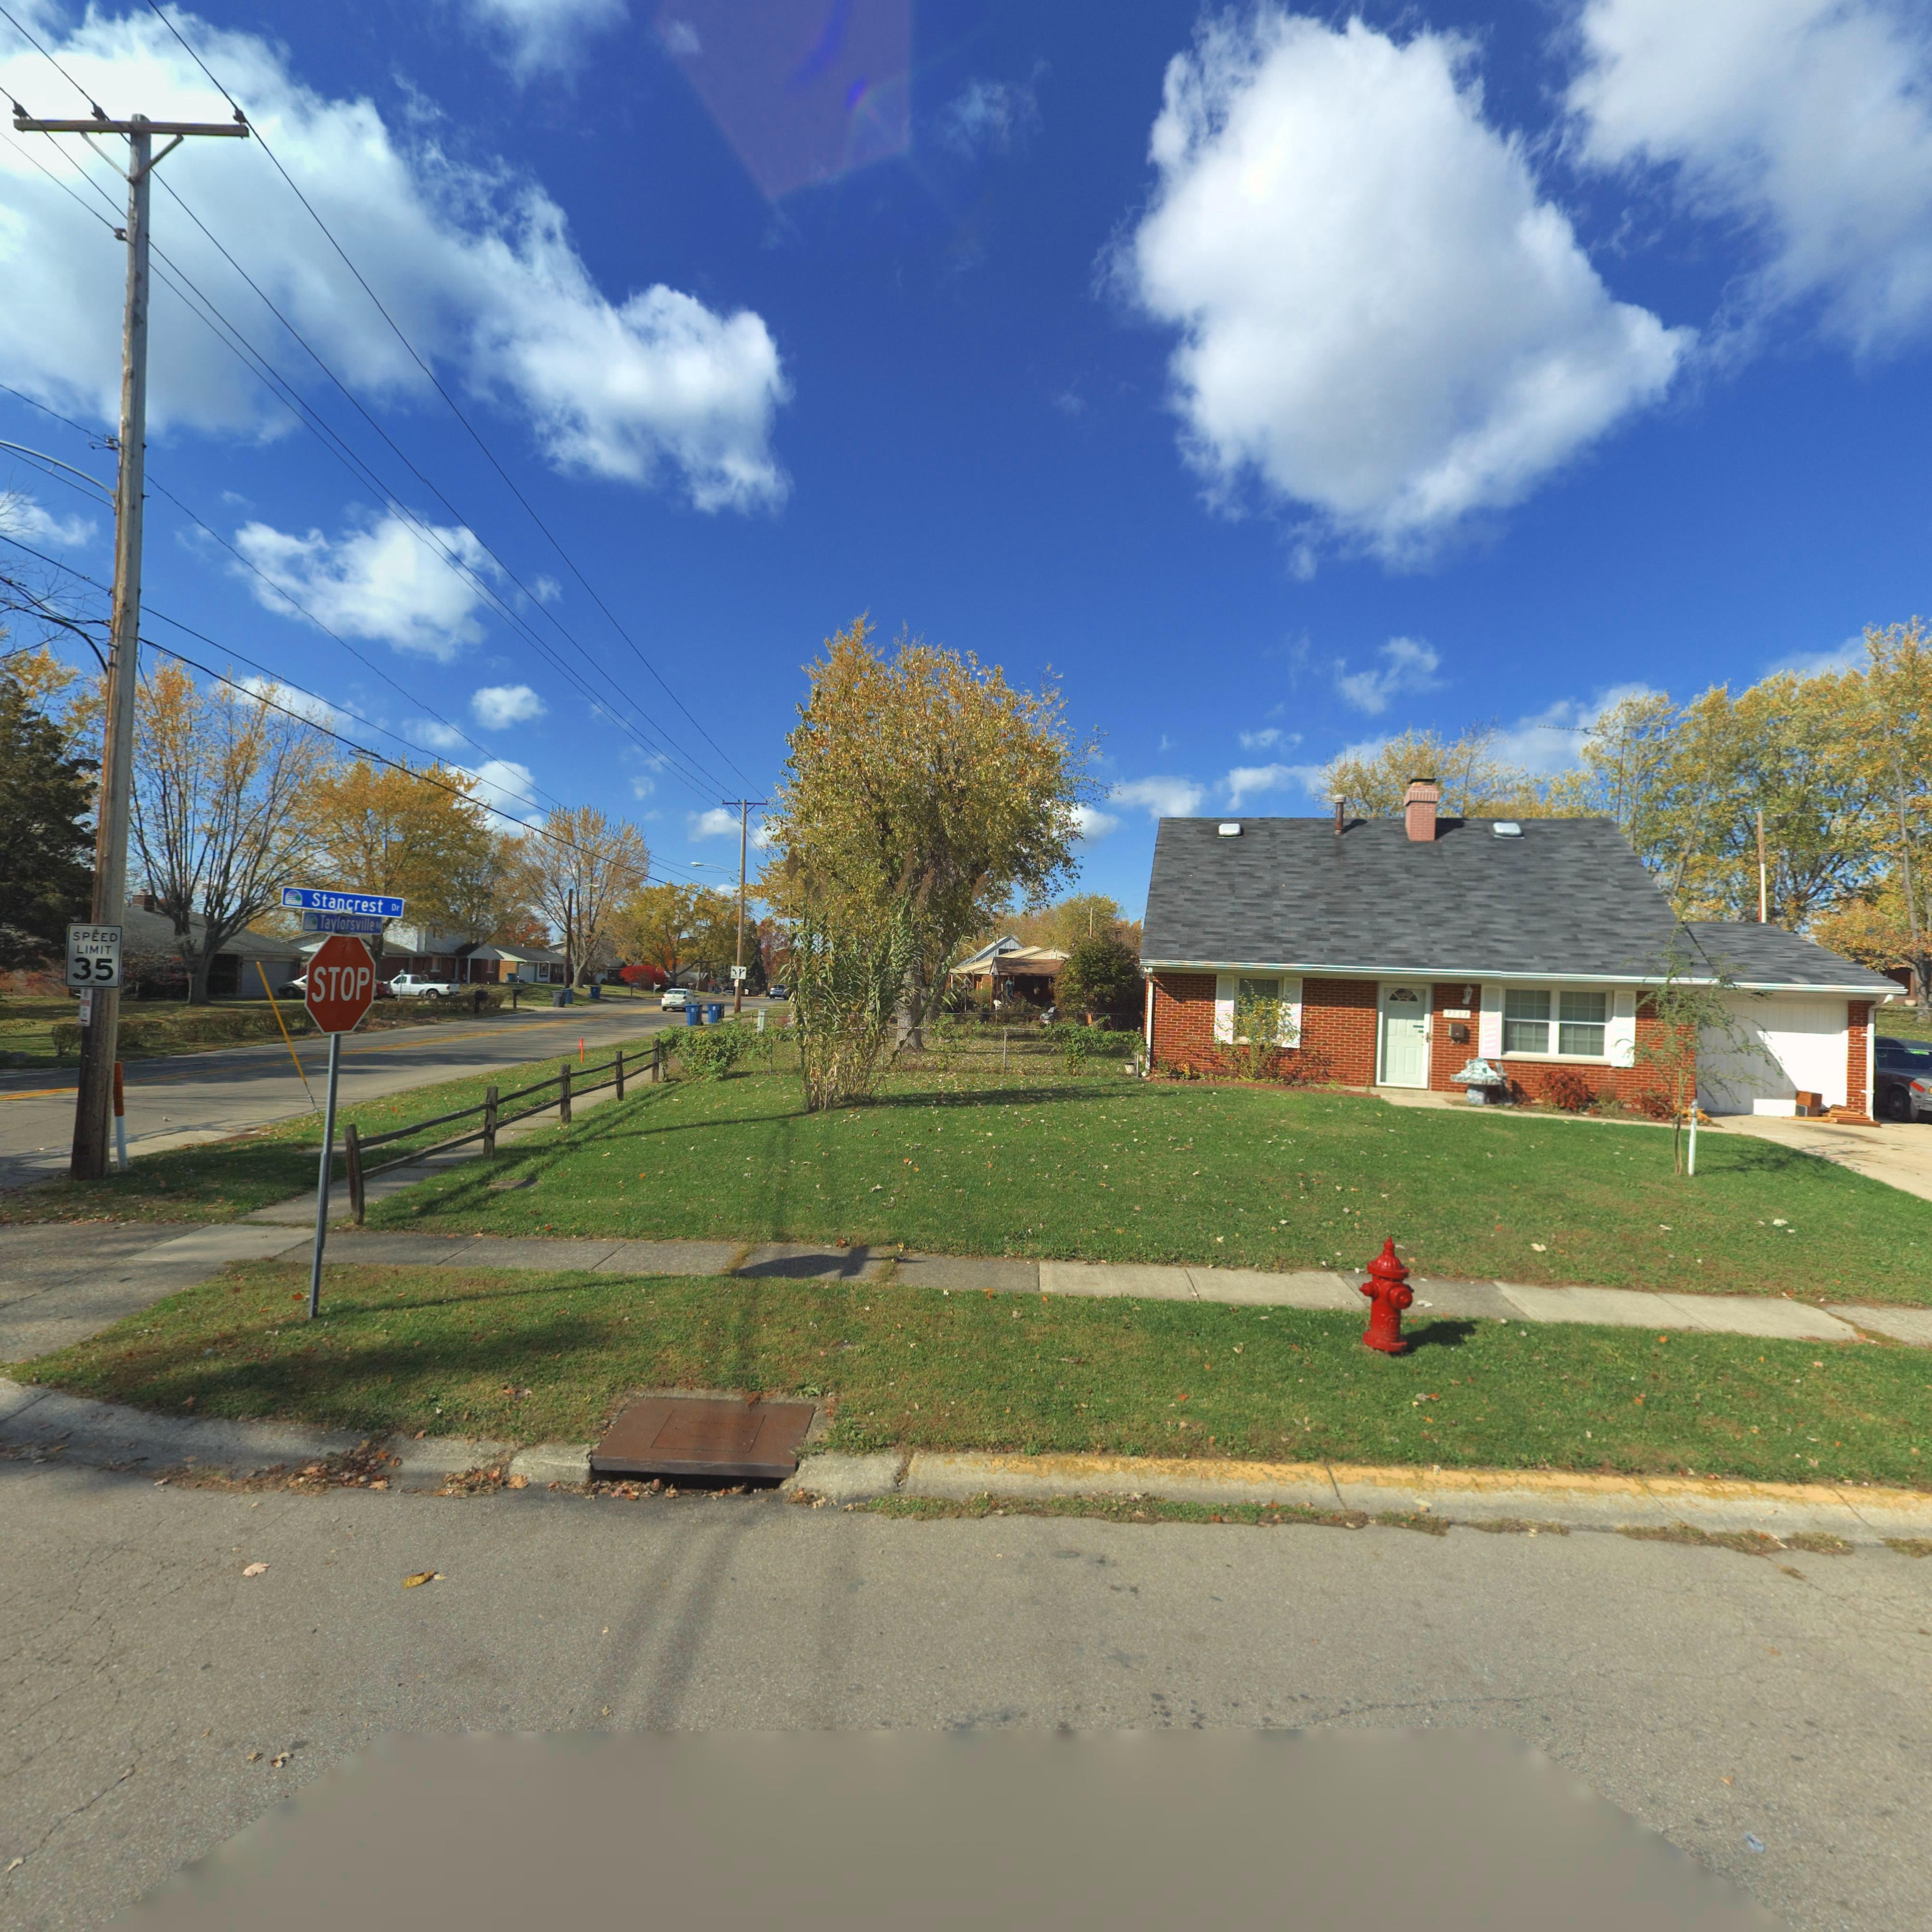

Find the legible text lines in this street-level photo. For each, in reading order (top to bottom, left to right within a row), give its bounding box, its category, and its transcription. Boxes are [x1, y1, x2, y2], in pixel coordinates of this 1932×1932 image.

[310, 891, 401, 914] StreetName: Stancrest Dr
[319, 914, 375, 934] StreetName: Taylorsville
[1446, 1010, 1469, 1018] StreetNumber: 7507